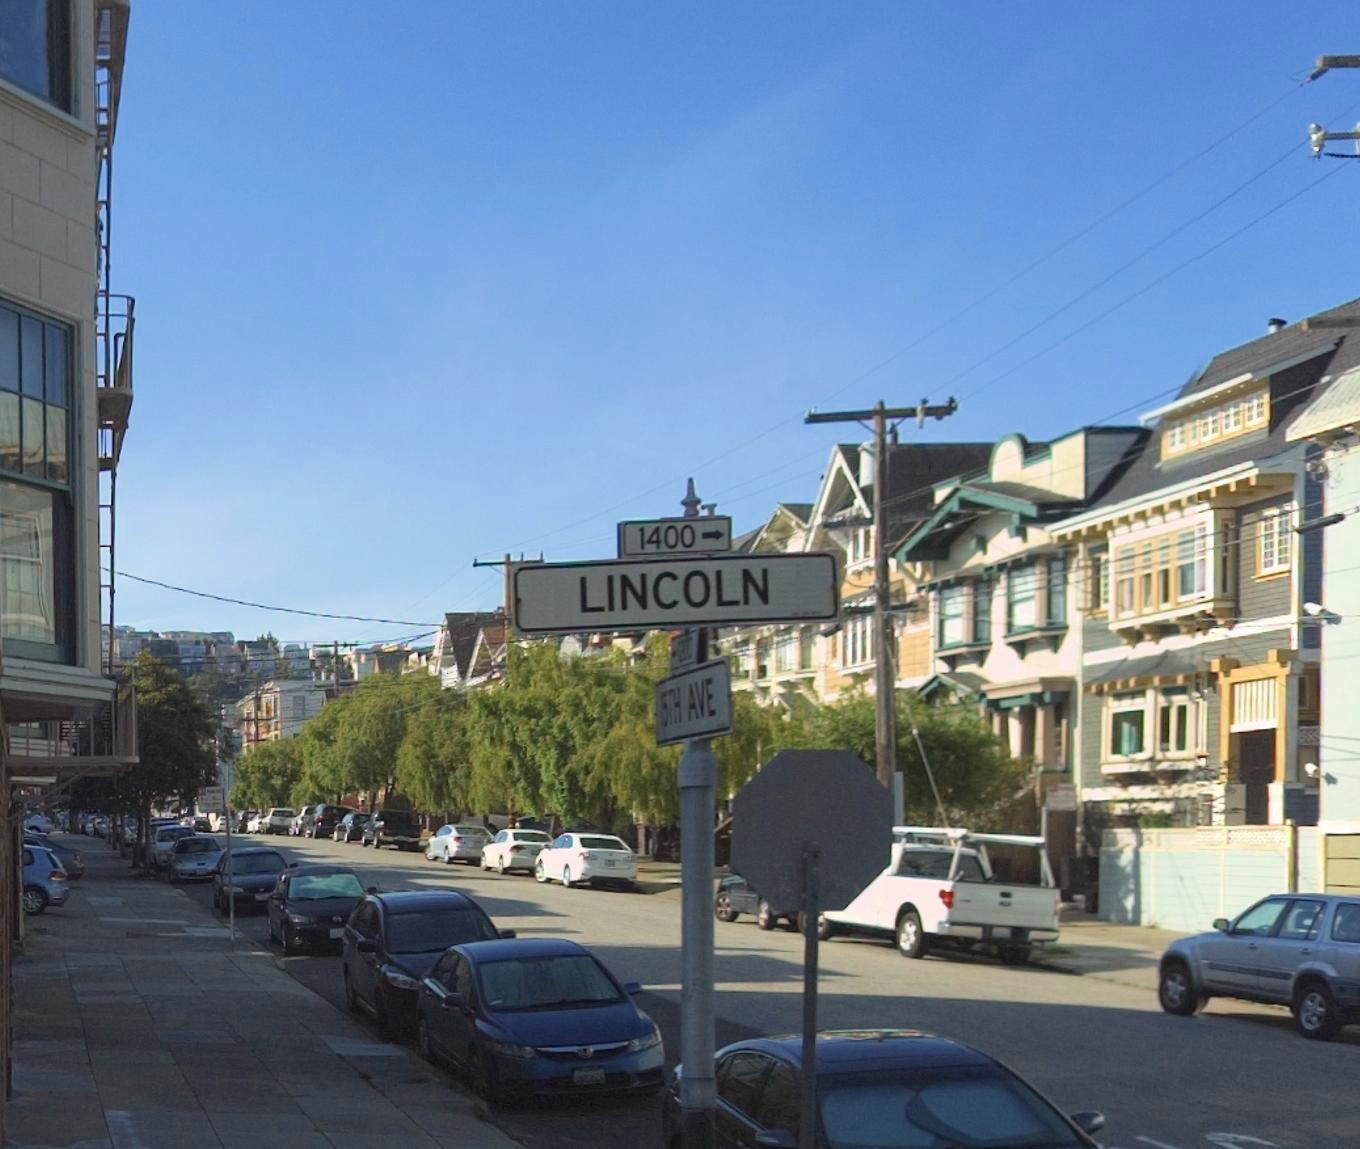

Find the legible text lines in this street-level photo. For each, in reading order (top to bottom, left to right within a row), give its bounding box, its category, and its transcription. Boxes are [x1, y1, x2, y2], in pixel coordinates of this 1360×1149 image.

[634, 519, 727, 554] StreetNumberRange: 1400->
[575, 563, 774, 620] StreetName: LINCOLN
[669, 635, 693, 666] StreetNumberRange: <-1*00
[657, 675, 721, 731] StreetName: *TH AVE